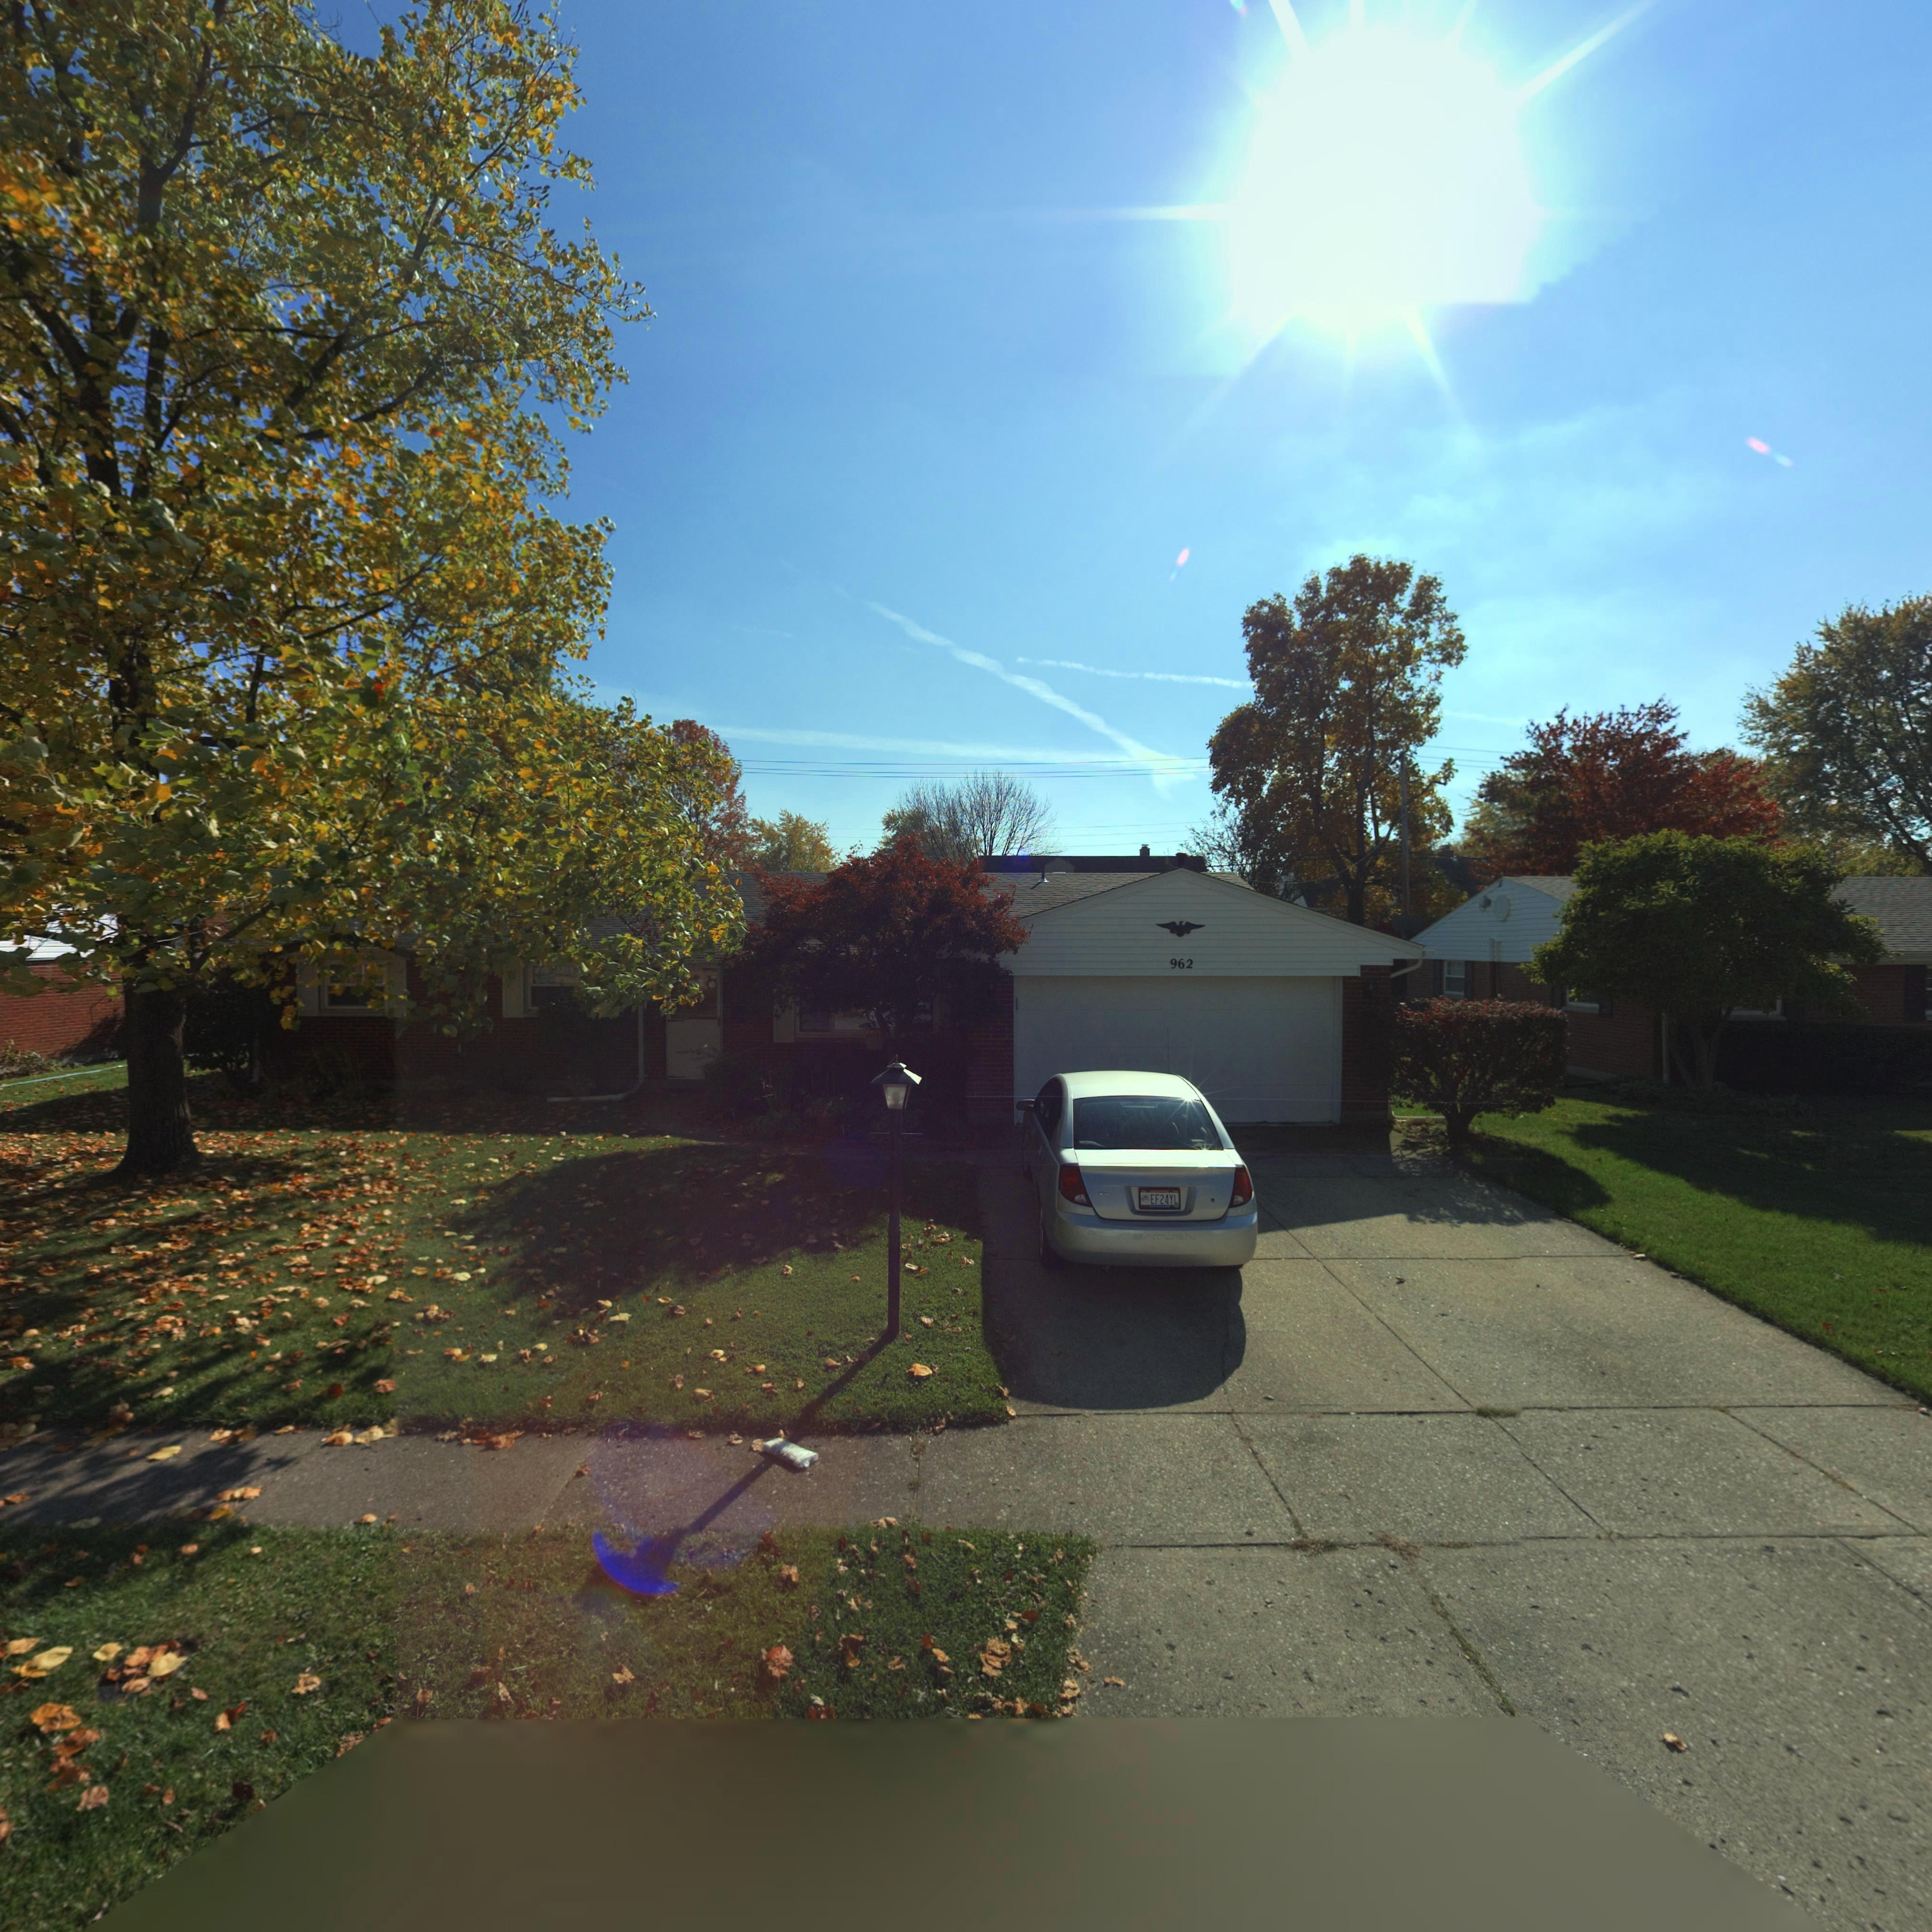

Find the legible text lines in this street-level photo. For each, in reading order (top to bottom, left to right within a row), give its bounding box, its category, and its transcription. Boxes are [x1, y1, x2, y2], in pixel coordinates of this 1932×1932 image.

[1169, 957, 1194, 970] StreetNumber: 962
[1150, 1193, 1179, 1206] None: EF24YL